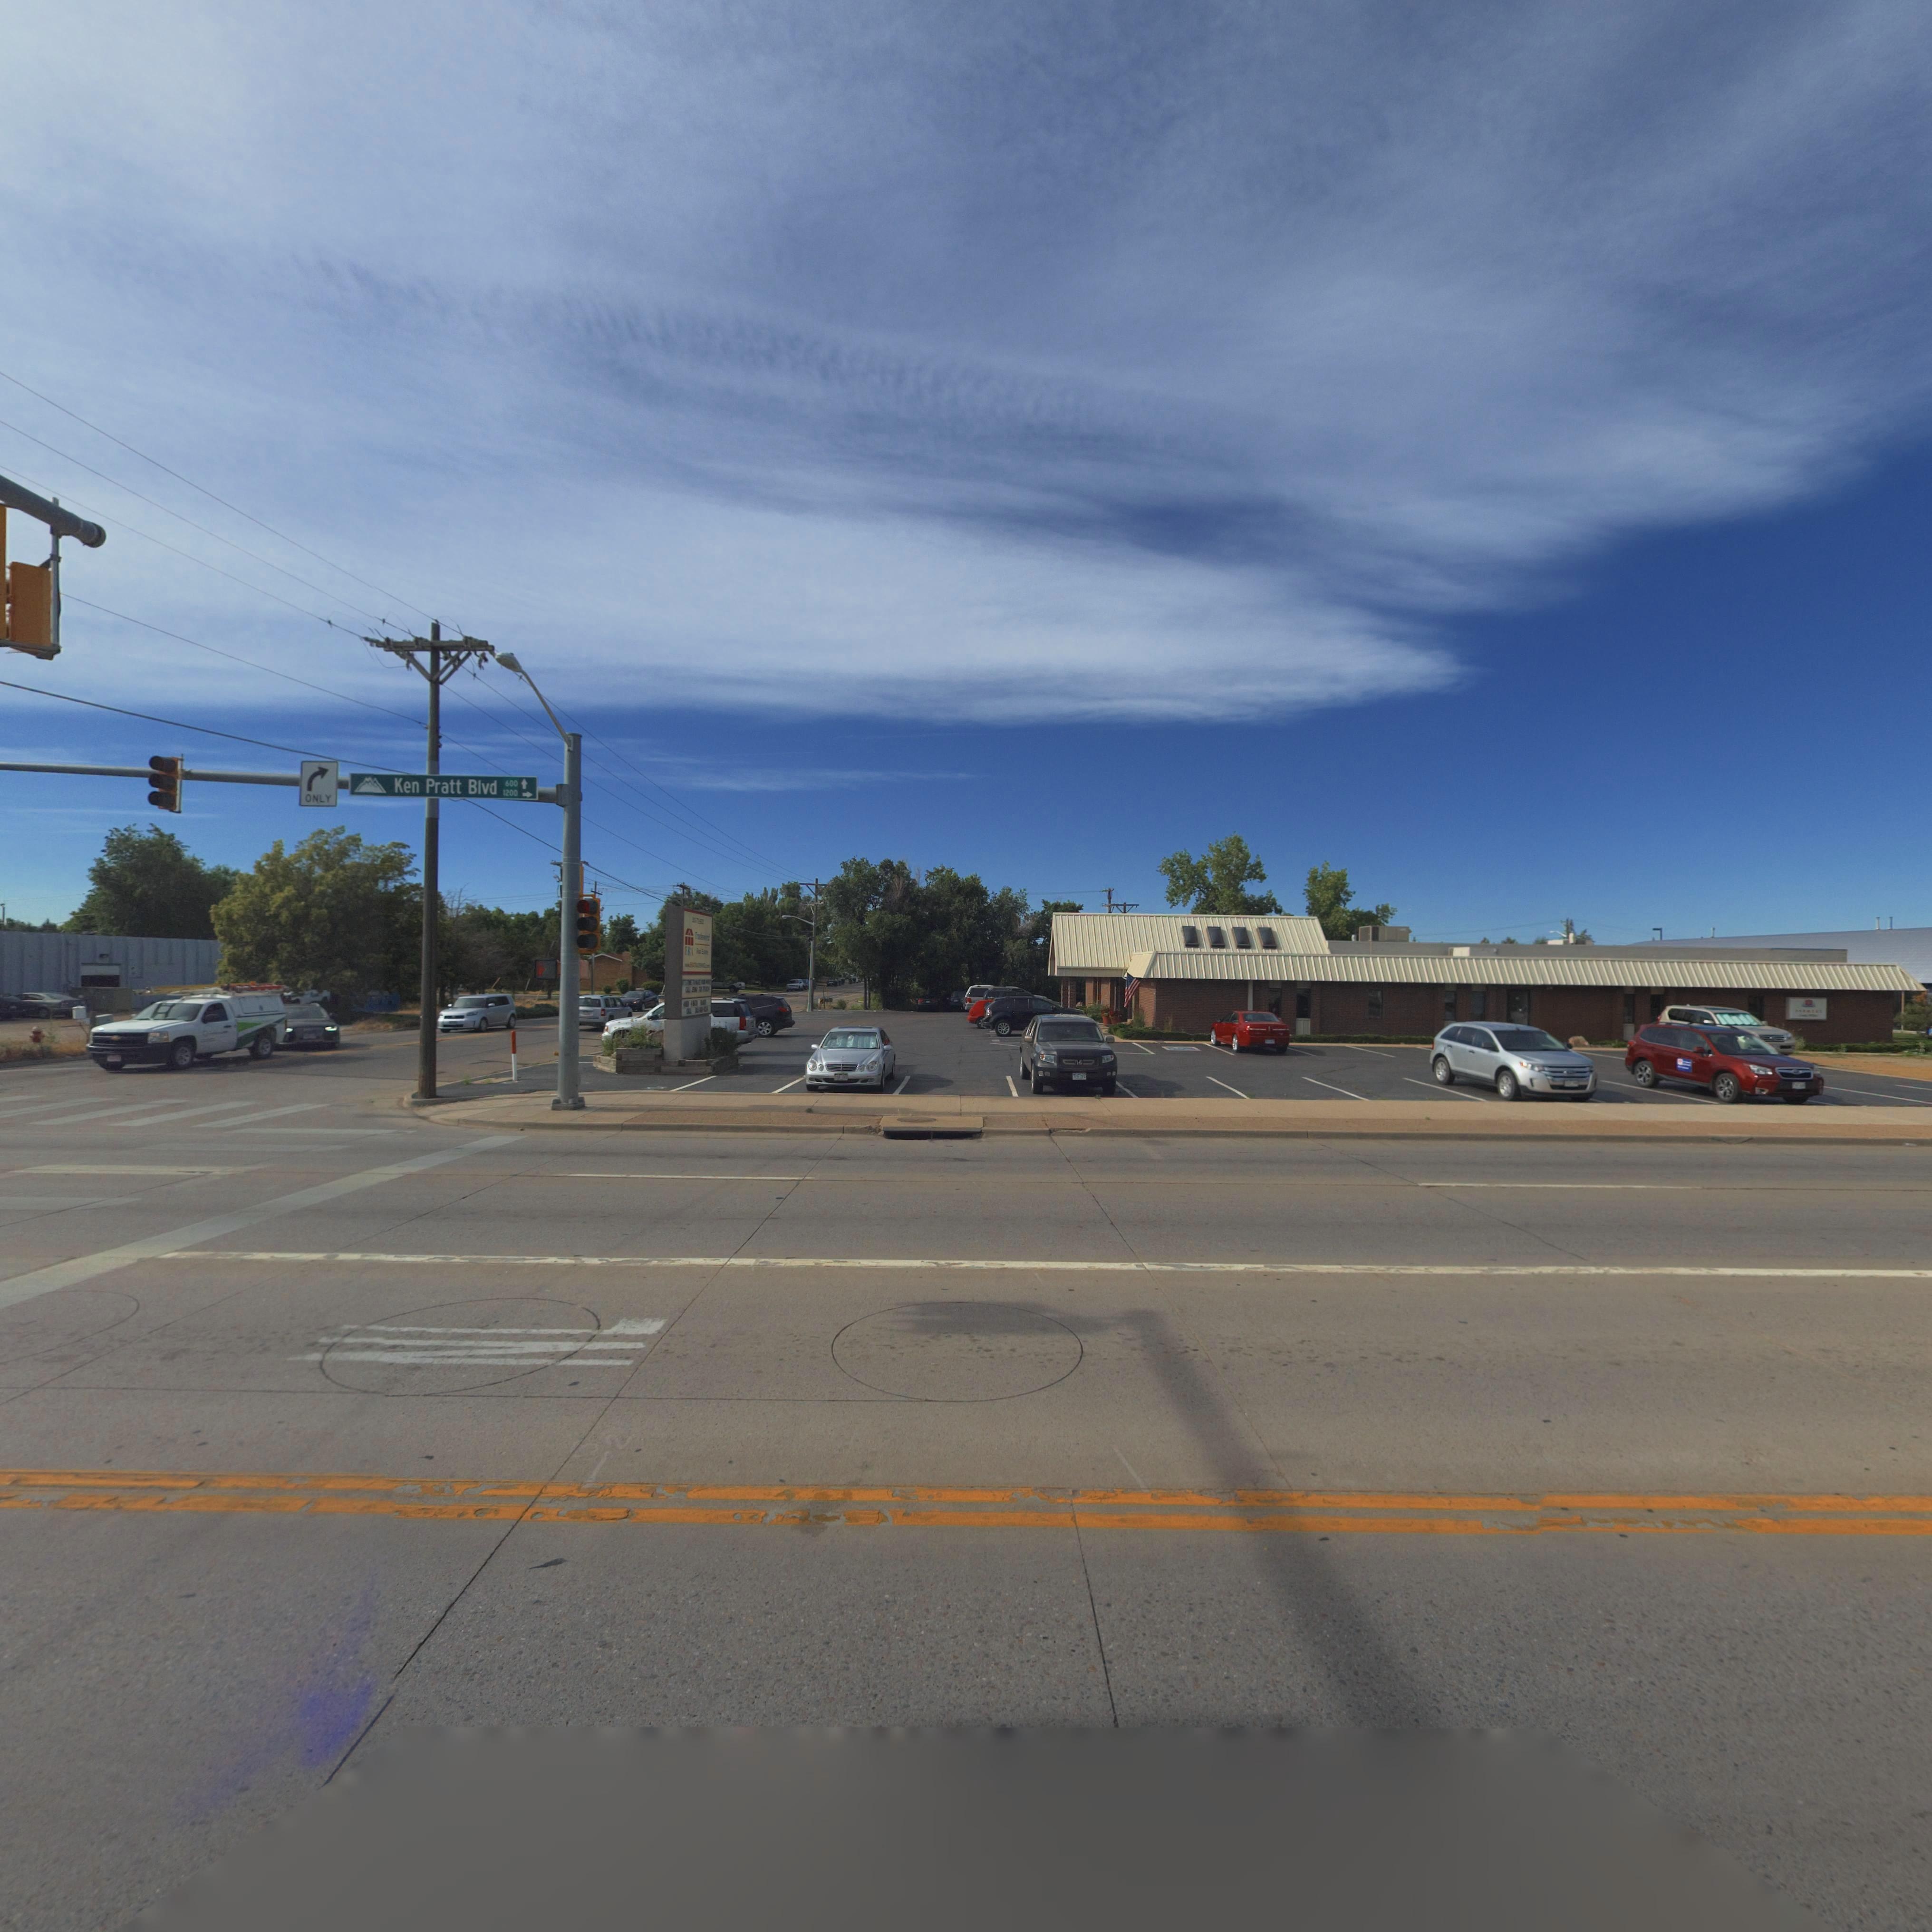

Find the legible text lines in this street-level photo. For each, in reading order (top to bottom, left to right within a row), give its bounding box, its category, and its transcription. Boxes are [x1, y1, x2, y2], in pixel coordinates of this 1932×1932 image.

[394, 777, 497, 795] StreetName: Ken Pratt Blvd
[504, 779, 518, 787] StreetNumber: 600
[502, 788, 533, 798] StreetNumber: 1200->
[1795, 1009, 1822, 1013] BusinessName: ****RS